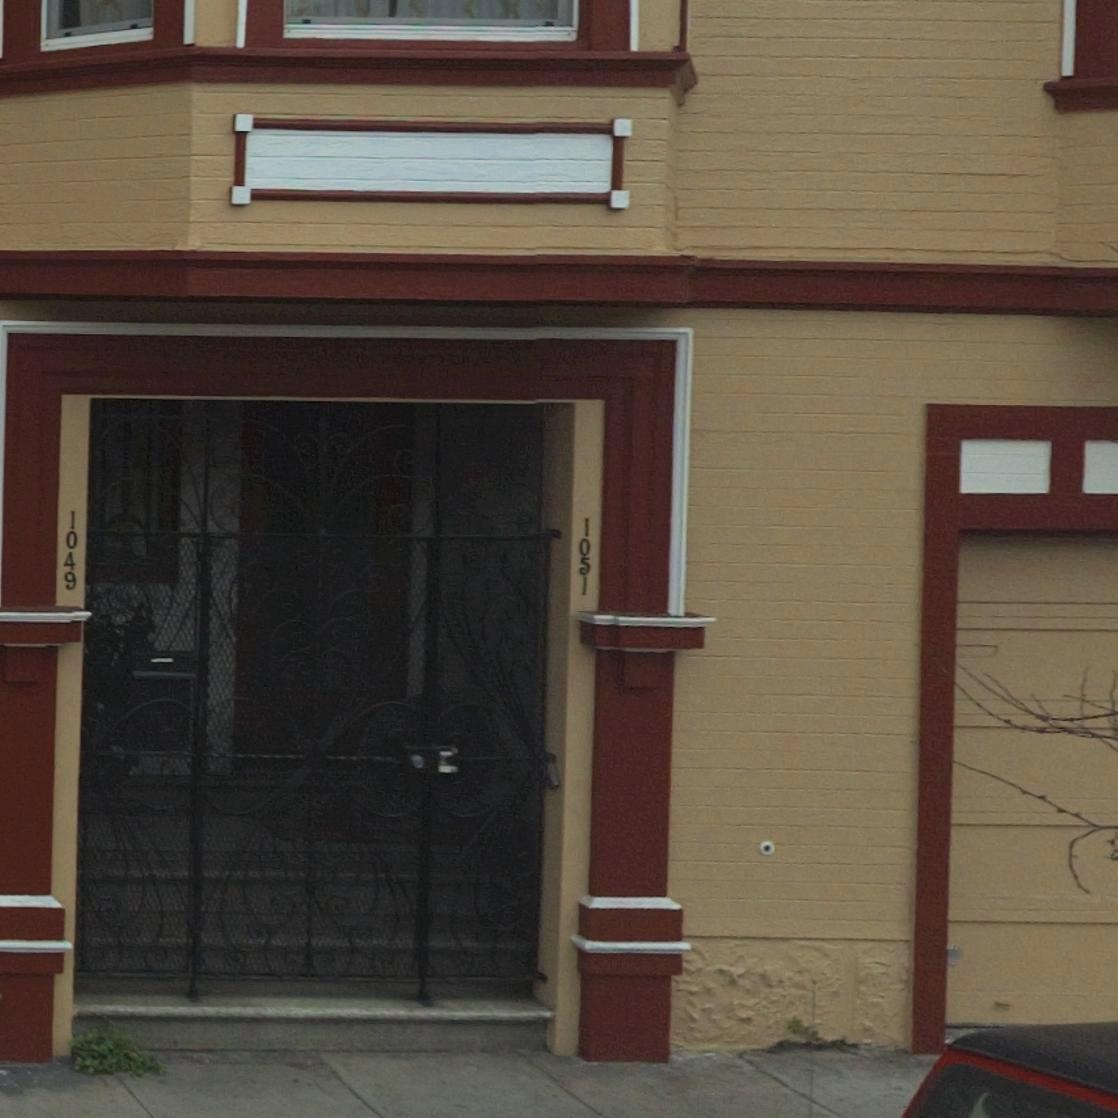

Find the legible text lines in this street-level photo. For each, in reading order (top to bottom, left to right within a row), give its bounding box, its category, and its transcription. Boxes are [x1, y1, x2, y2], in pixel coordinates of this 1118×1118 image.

[62, 508, 78, 591] StreetNumber: 1049
[577, 514, 593, 599] StreetNumber: 1051